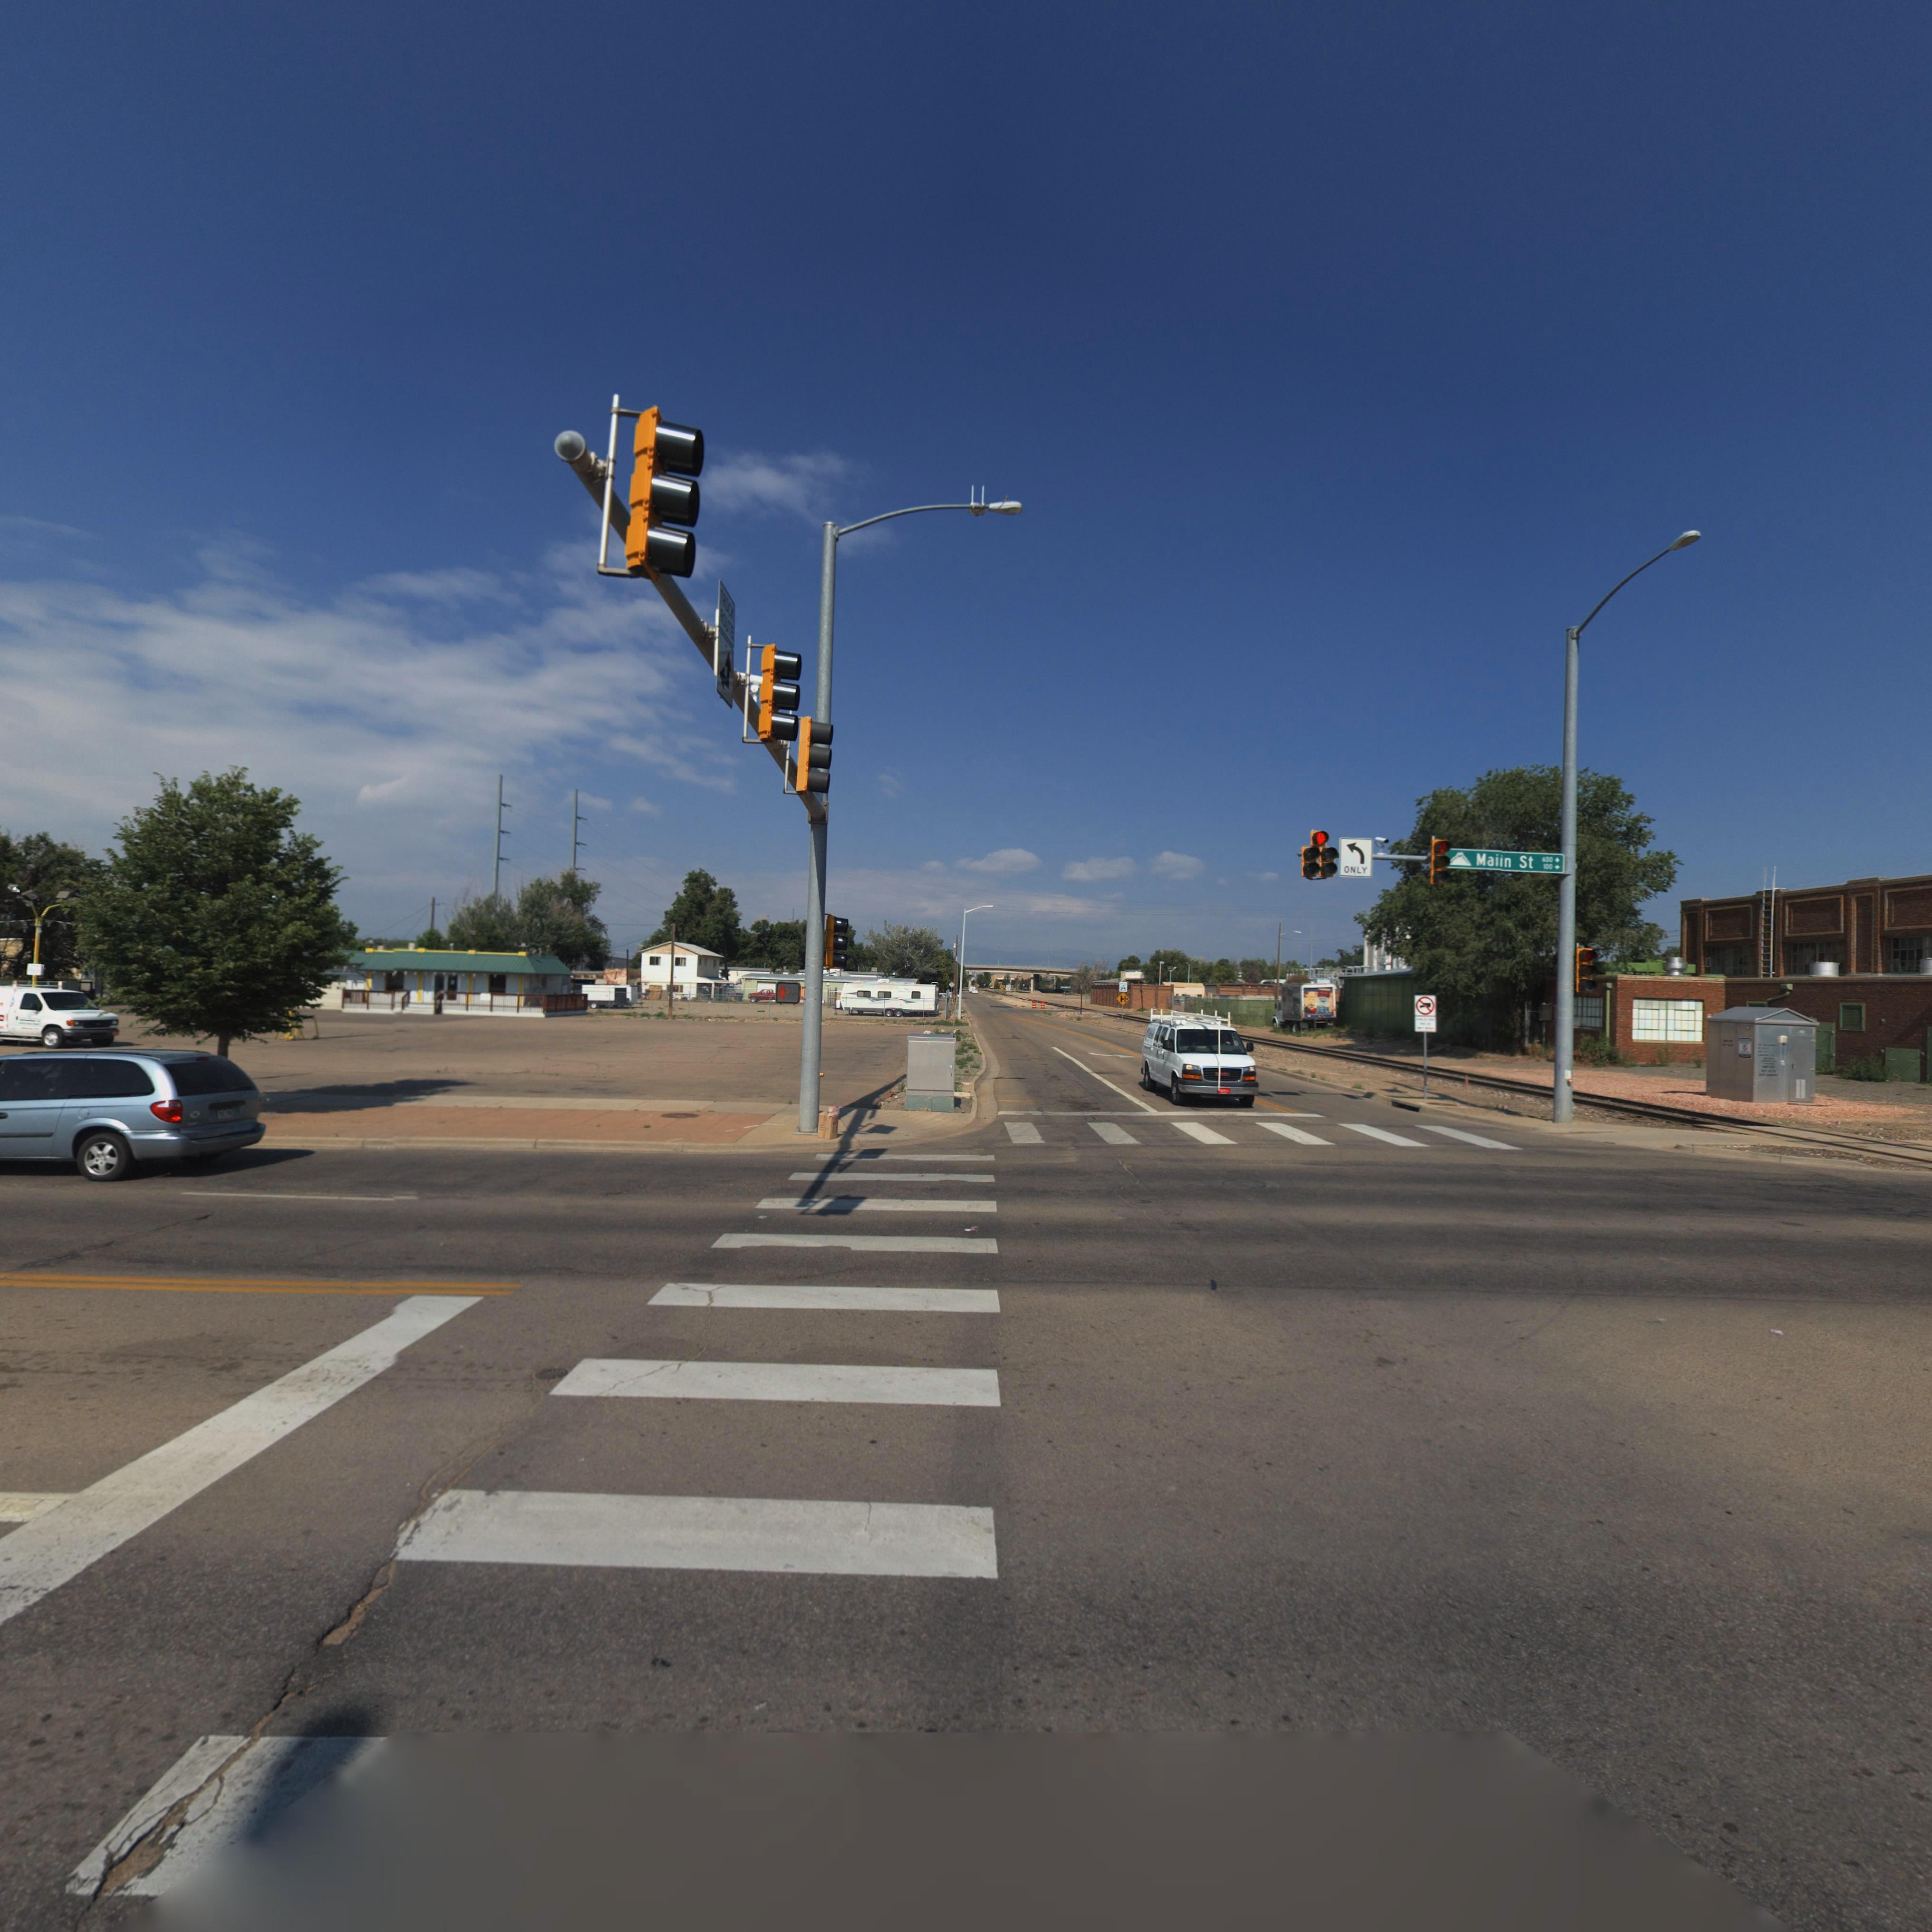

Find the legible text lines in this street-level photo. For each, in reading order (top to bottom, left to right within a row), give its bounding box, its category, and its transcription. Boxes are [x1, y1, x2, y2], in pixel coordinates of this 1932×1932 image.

[1476, 851, 1534, 869] StreetName: Main St
[1541, 856, 1553, 862] StreetNumberRange: 600
[1543, 863, 1560, 869] StreetNumberRange: 100 ->